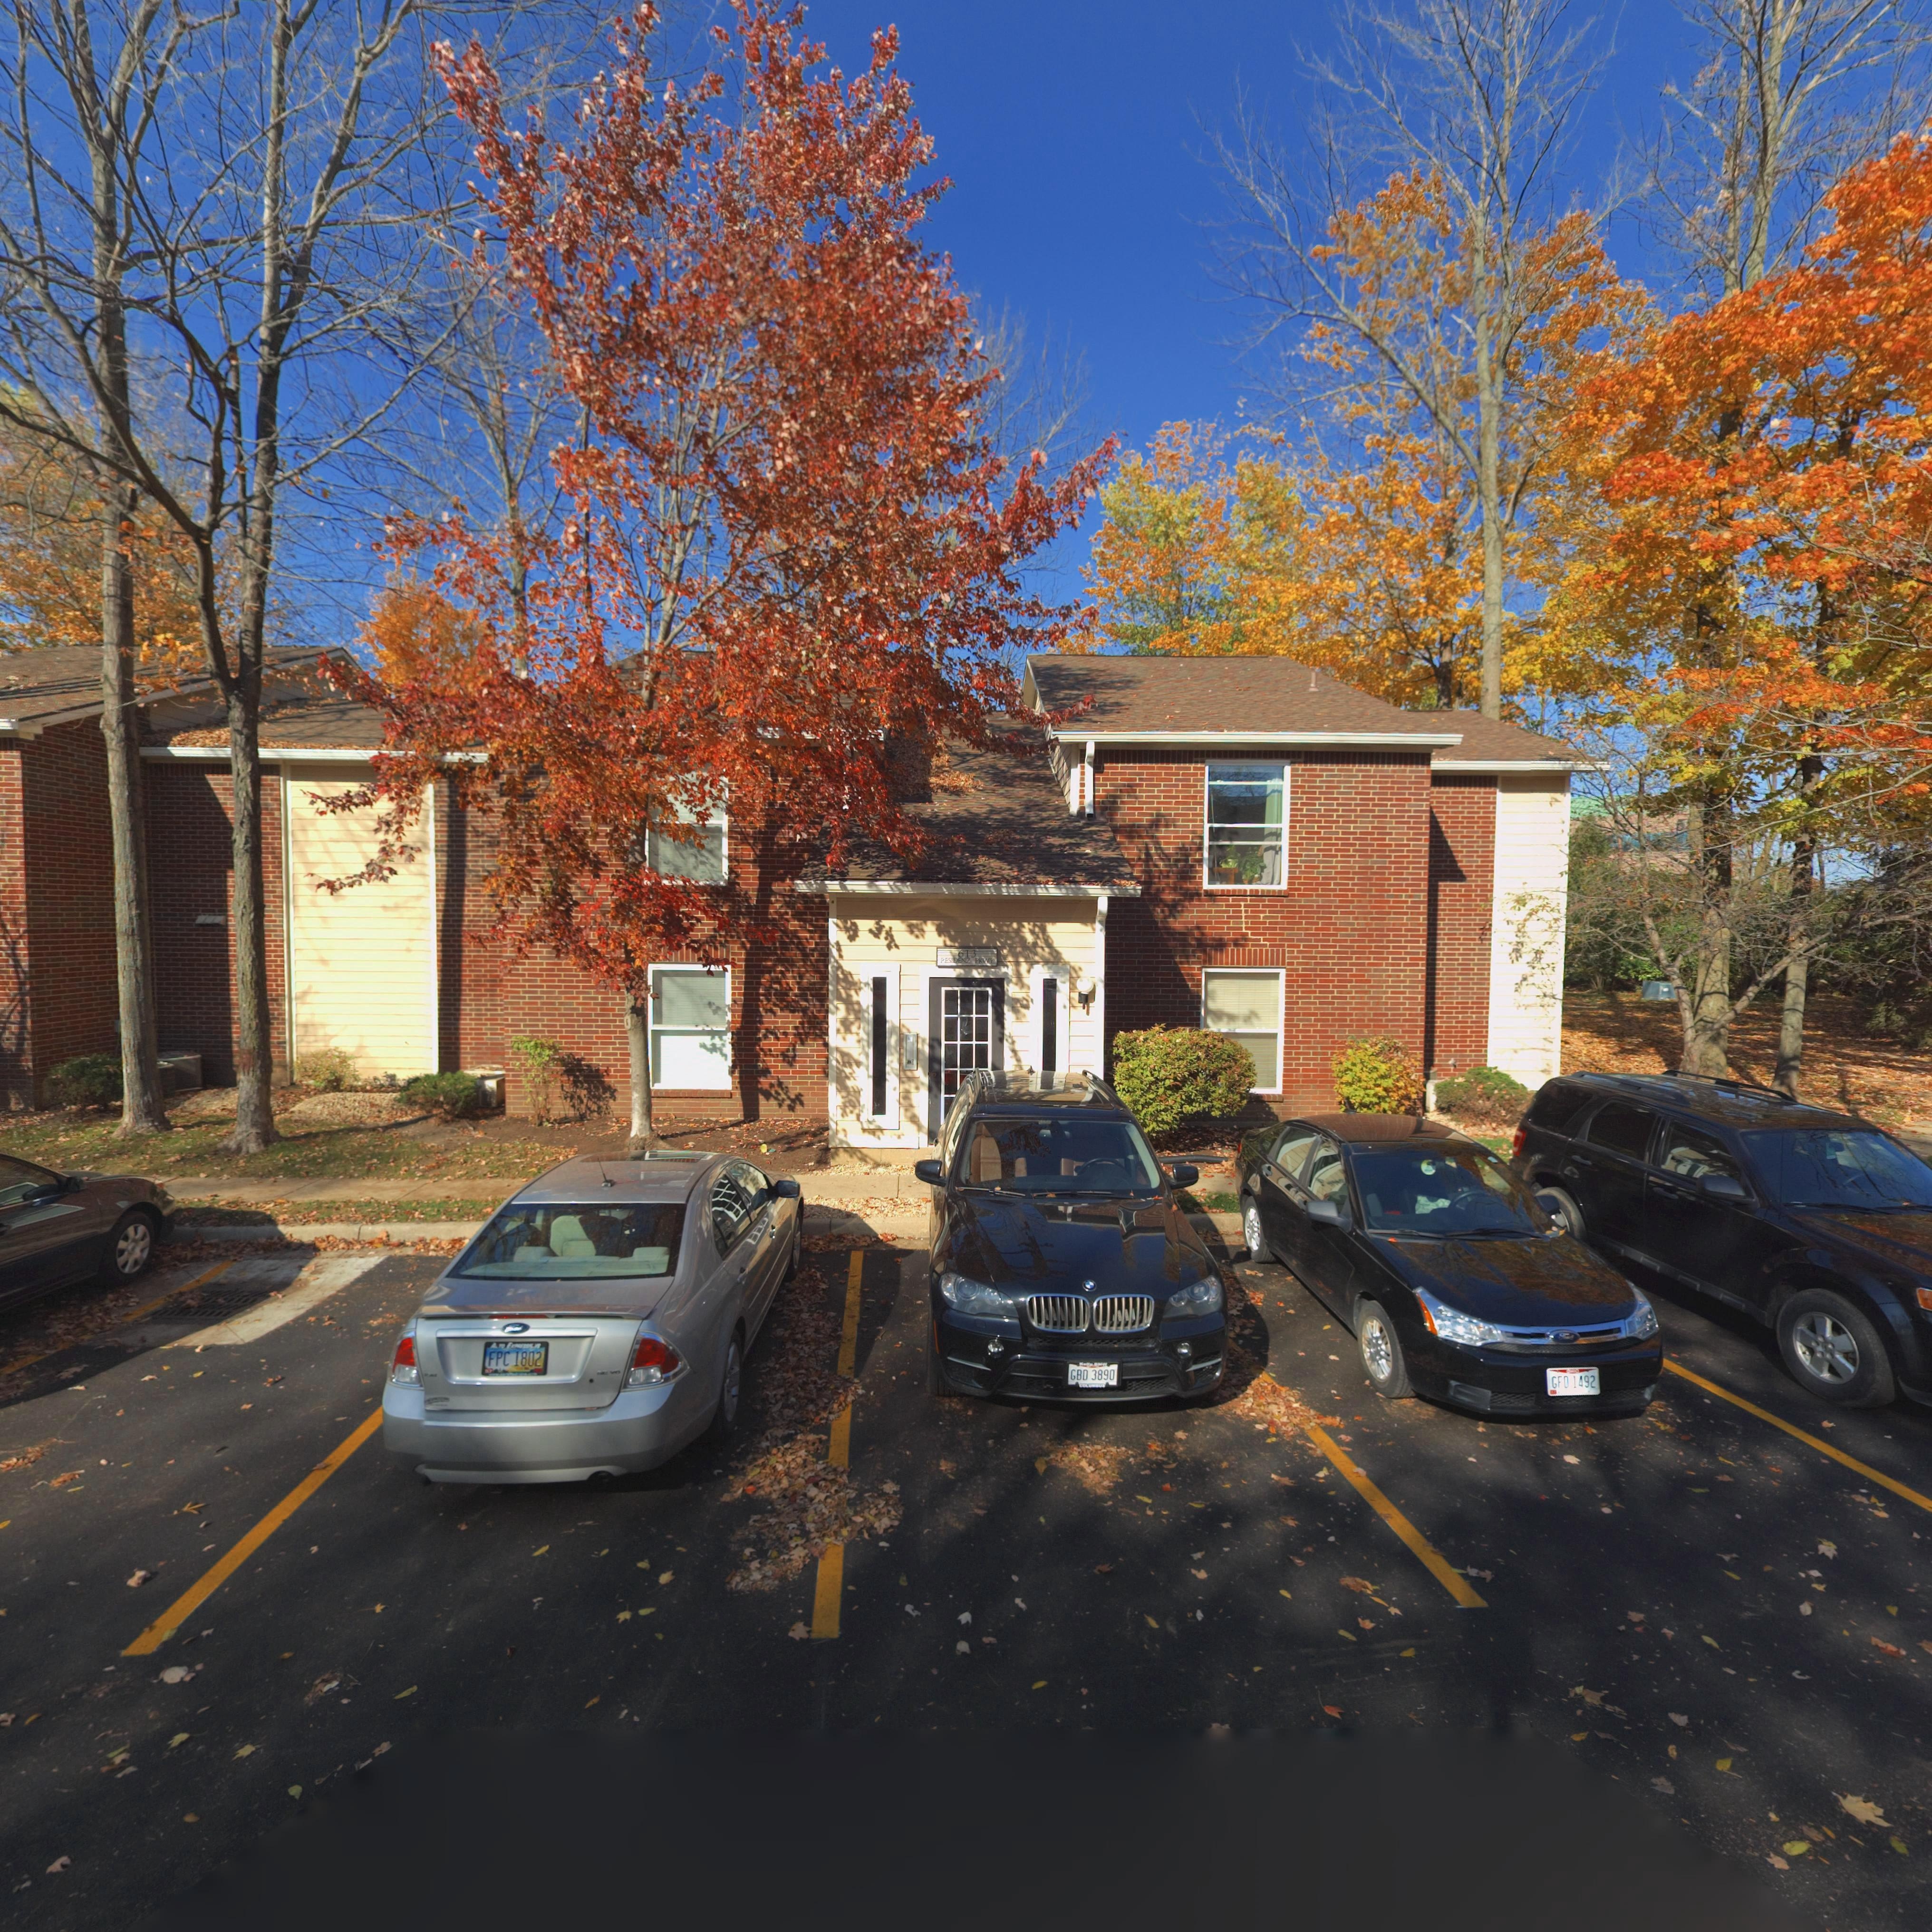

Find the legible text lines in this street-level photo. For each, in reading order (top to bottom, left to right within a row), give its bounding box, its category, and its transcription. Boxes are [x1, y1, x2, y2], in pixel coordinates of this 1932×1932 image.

[957, 948, 977, 958] StreetNumber: 613
[944, 956, 995, 965] StreetName: ESIDENZ PKWY
[487, 1350, 543, 1368] None: FPC 1802
[1070, 1368, 1116, 1382] None: GBD 3890
[1550, 1373, 1597, 1390] None: GFD 1492